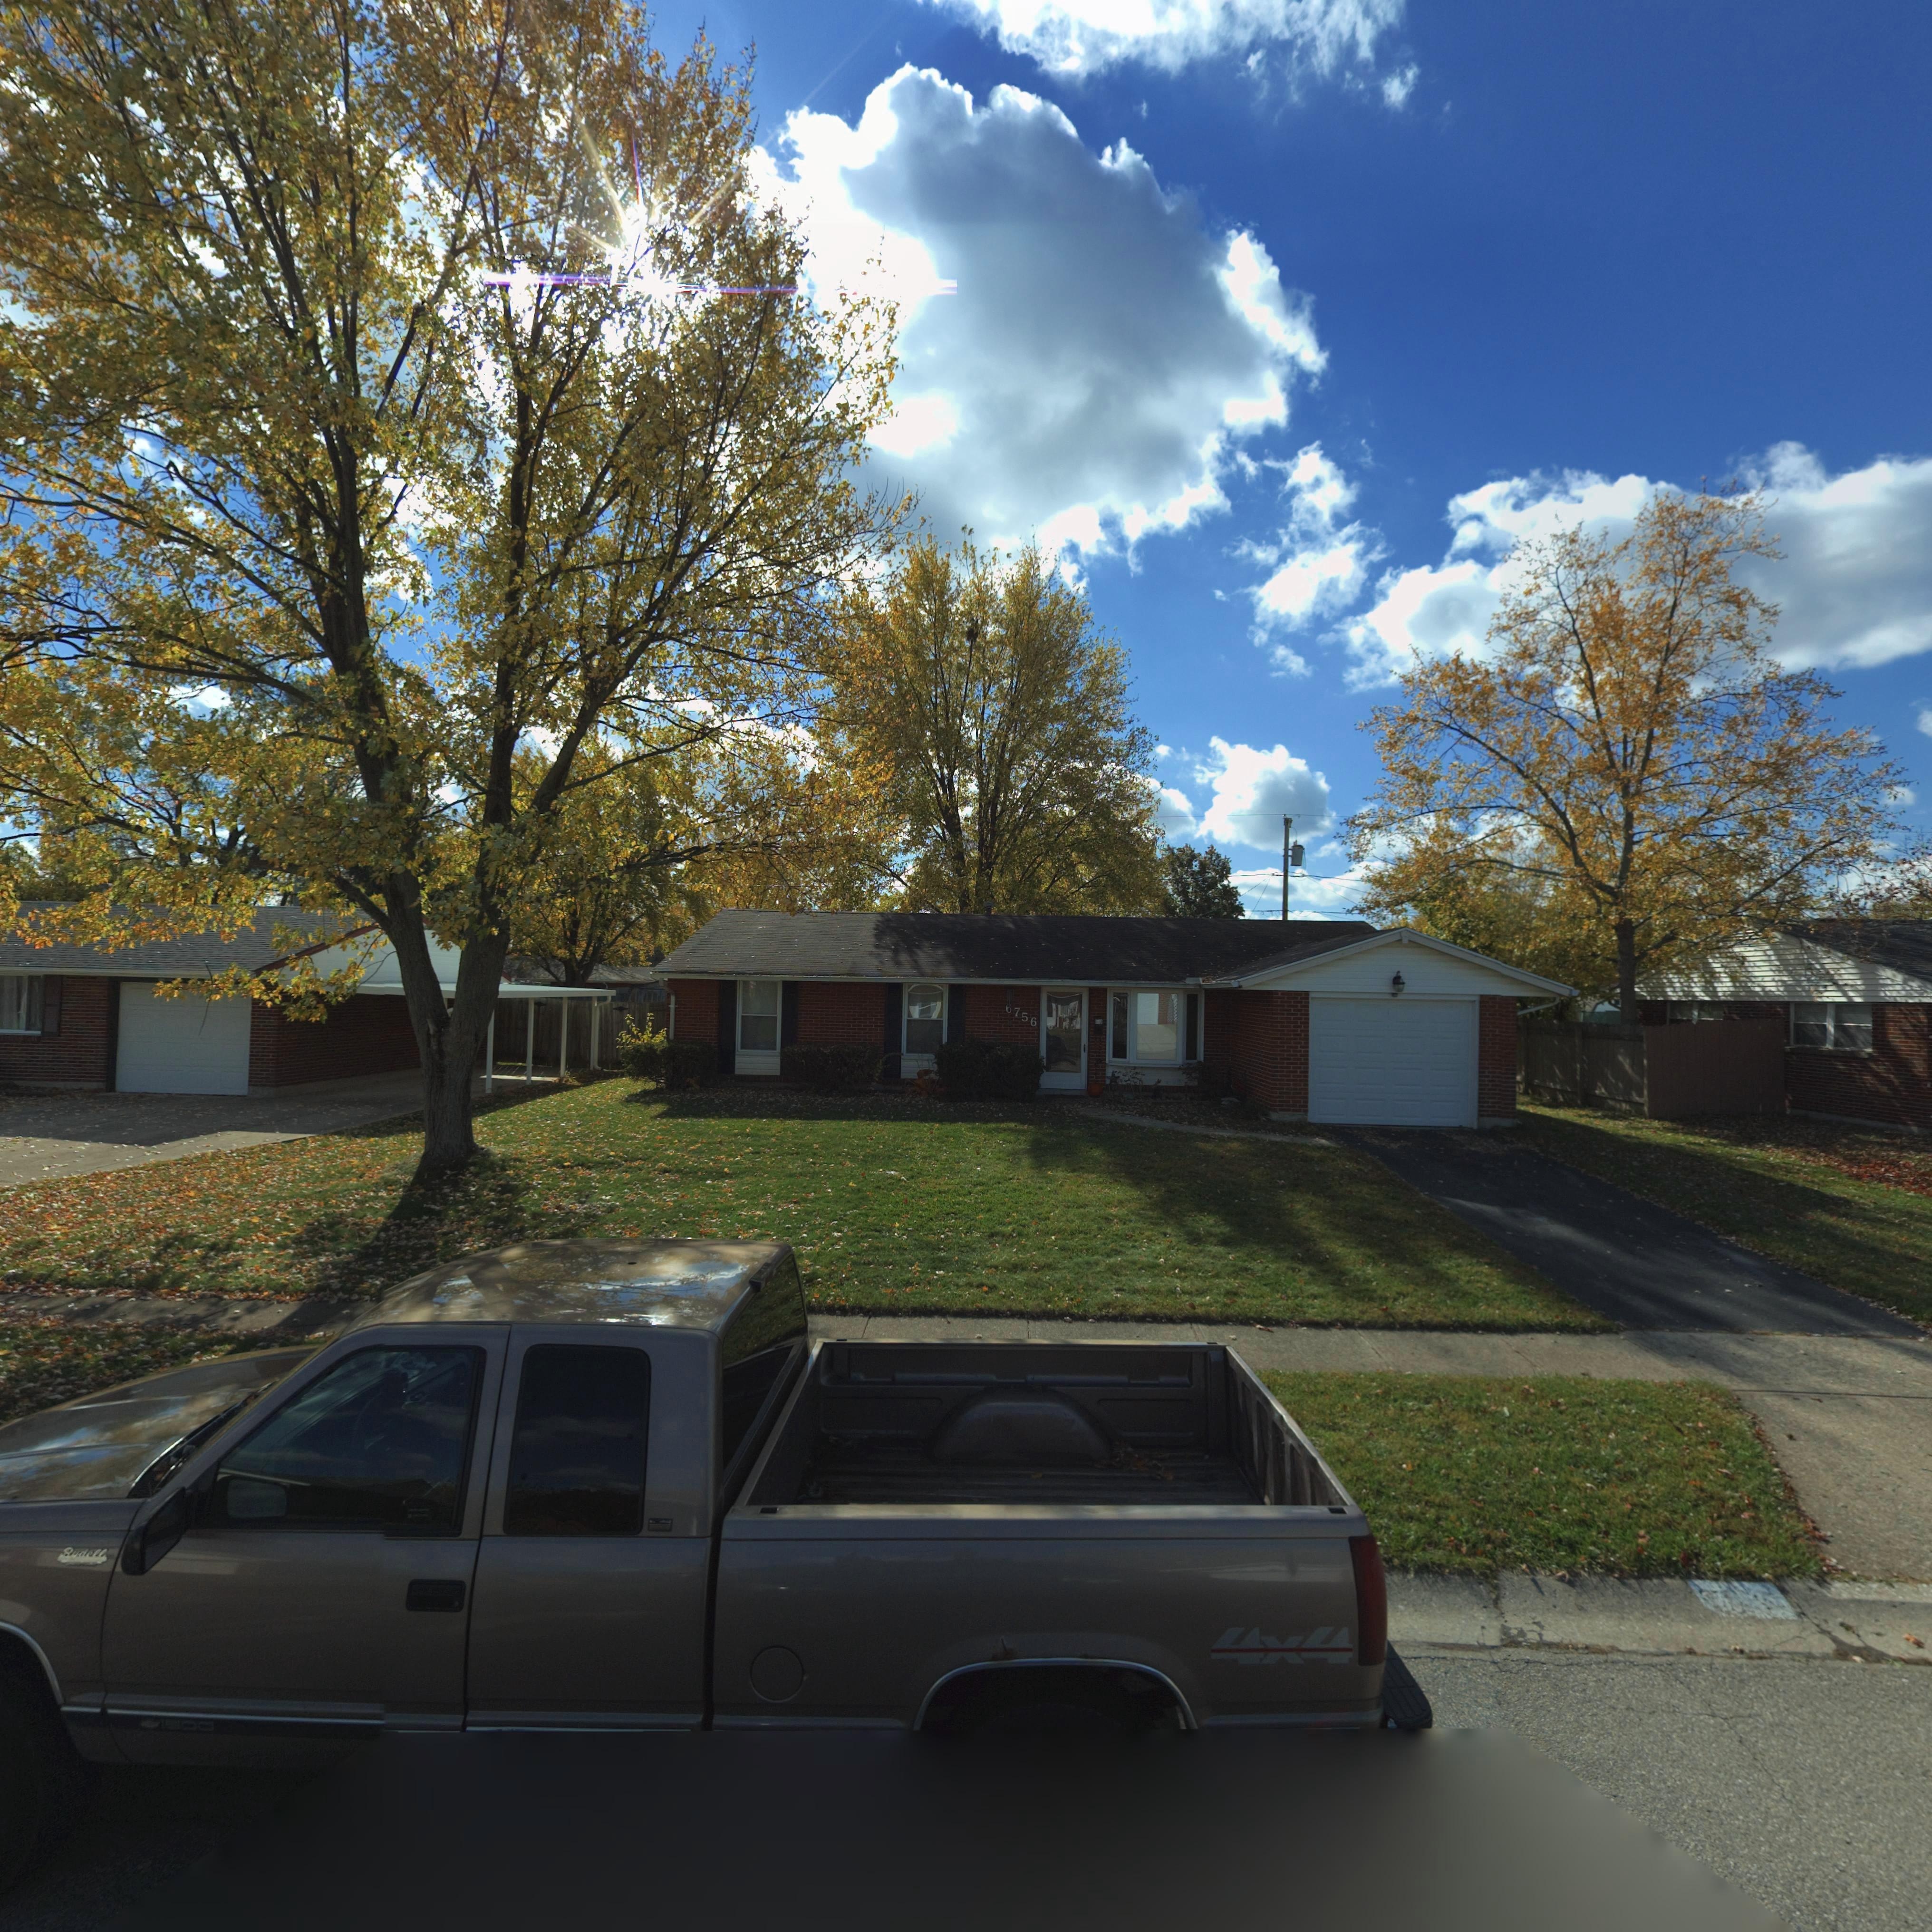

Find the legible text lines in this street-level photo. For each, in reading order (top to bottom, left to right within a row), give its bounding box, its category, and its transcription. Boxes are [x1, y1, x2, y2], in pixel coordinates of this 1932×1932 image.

[1005, 1003, 1037, 1027] StreetNumber: 6756